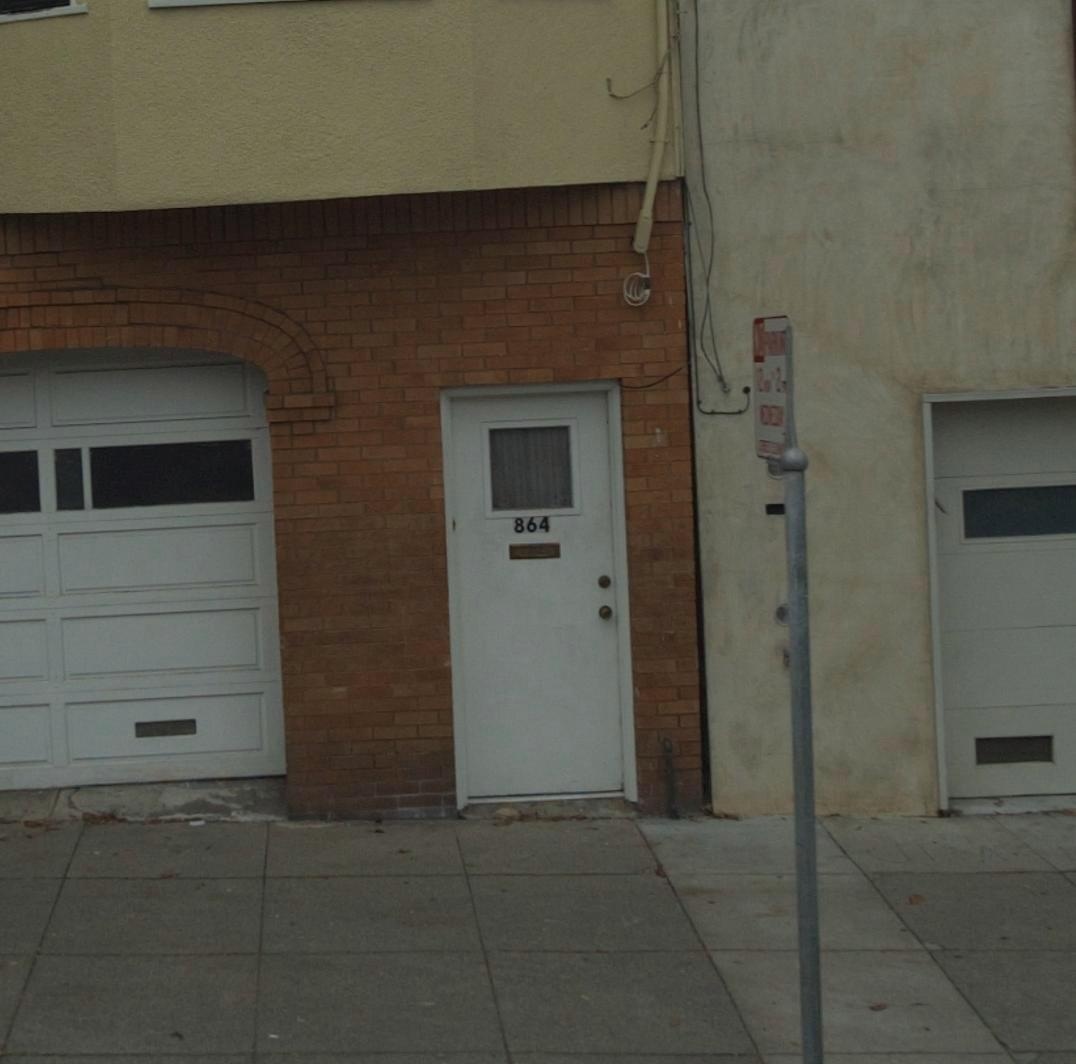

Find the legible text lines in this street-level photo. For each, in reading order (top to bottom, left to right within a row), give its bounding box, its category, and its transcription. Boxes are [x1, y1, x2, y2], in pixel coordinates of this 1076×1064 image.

[513, 515, 551, 533] StreetNumber: 864